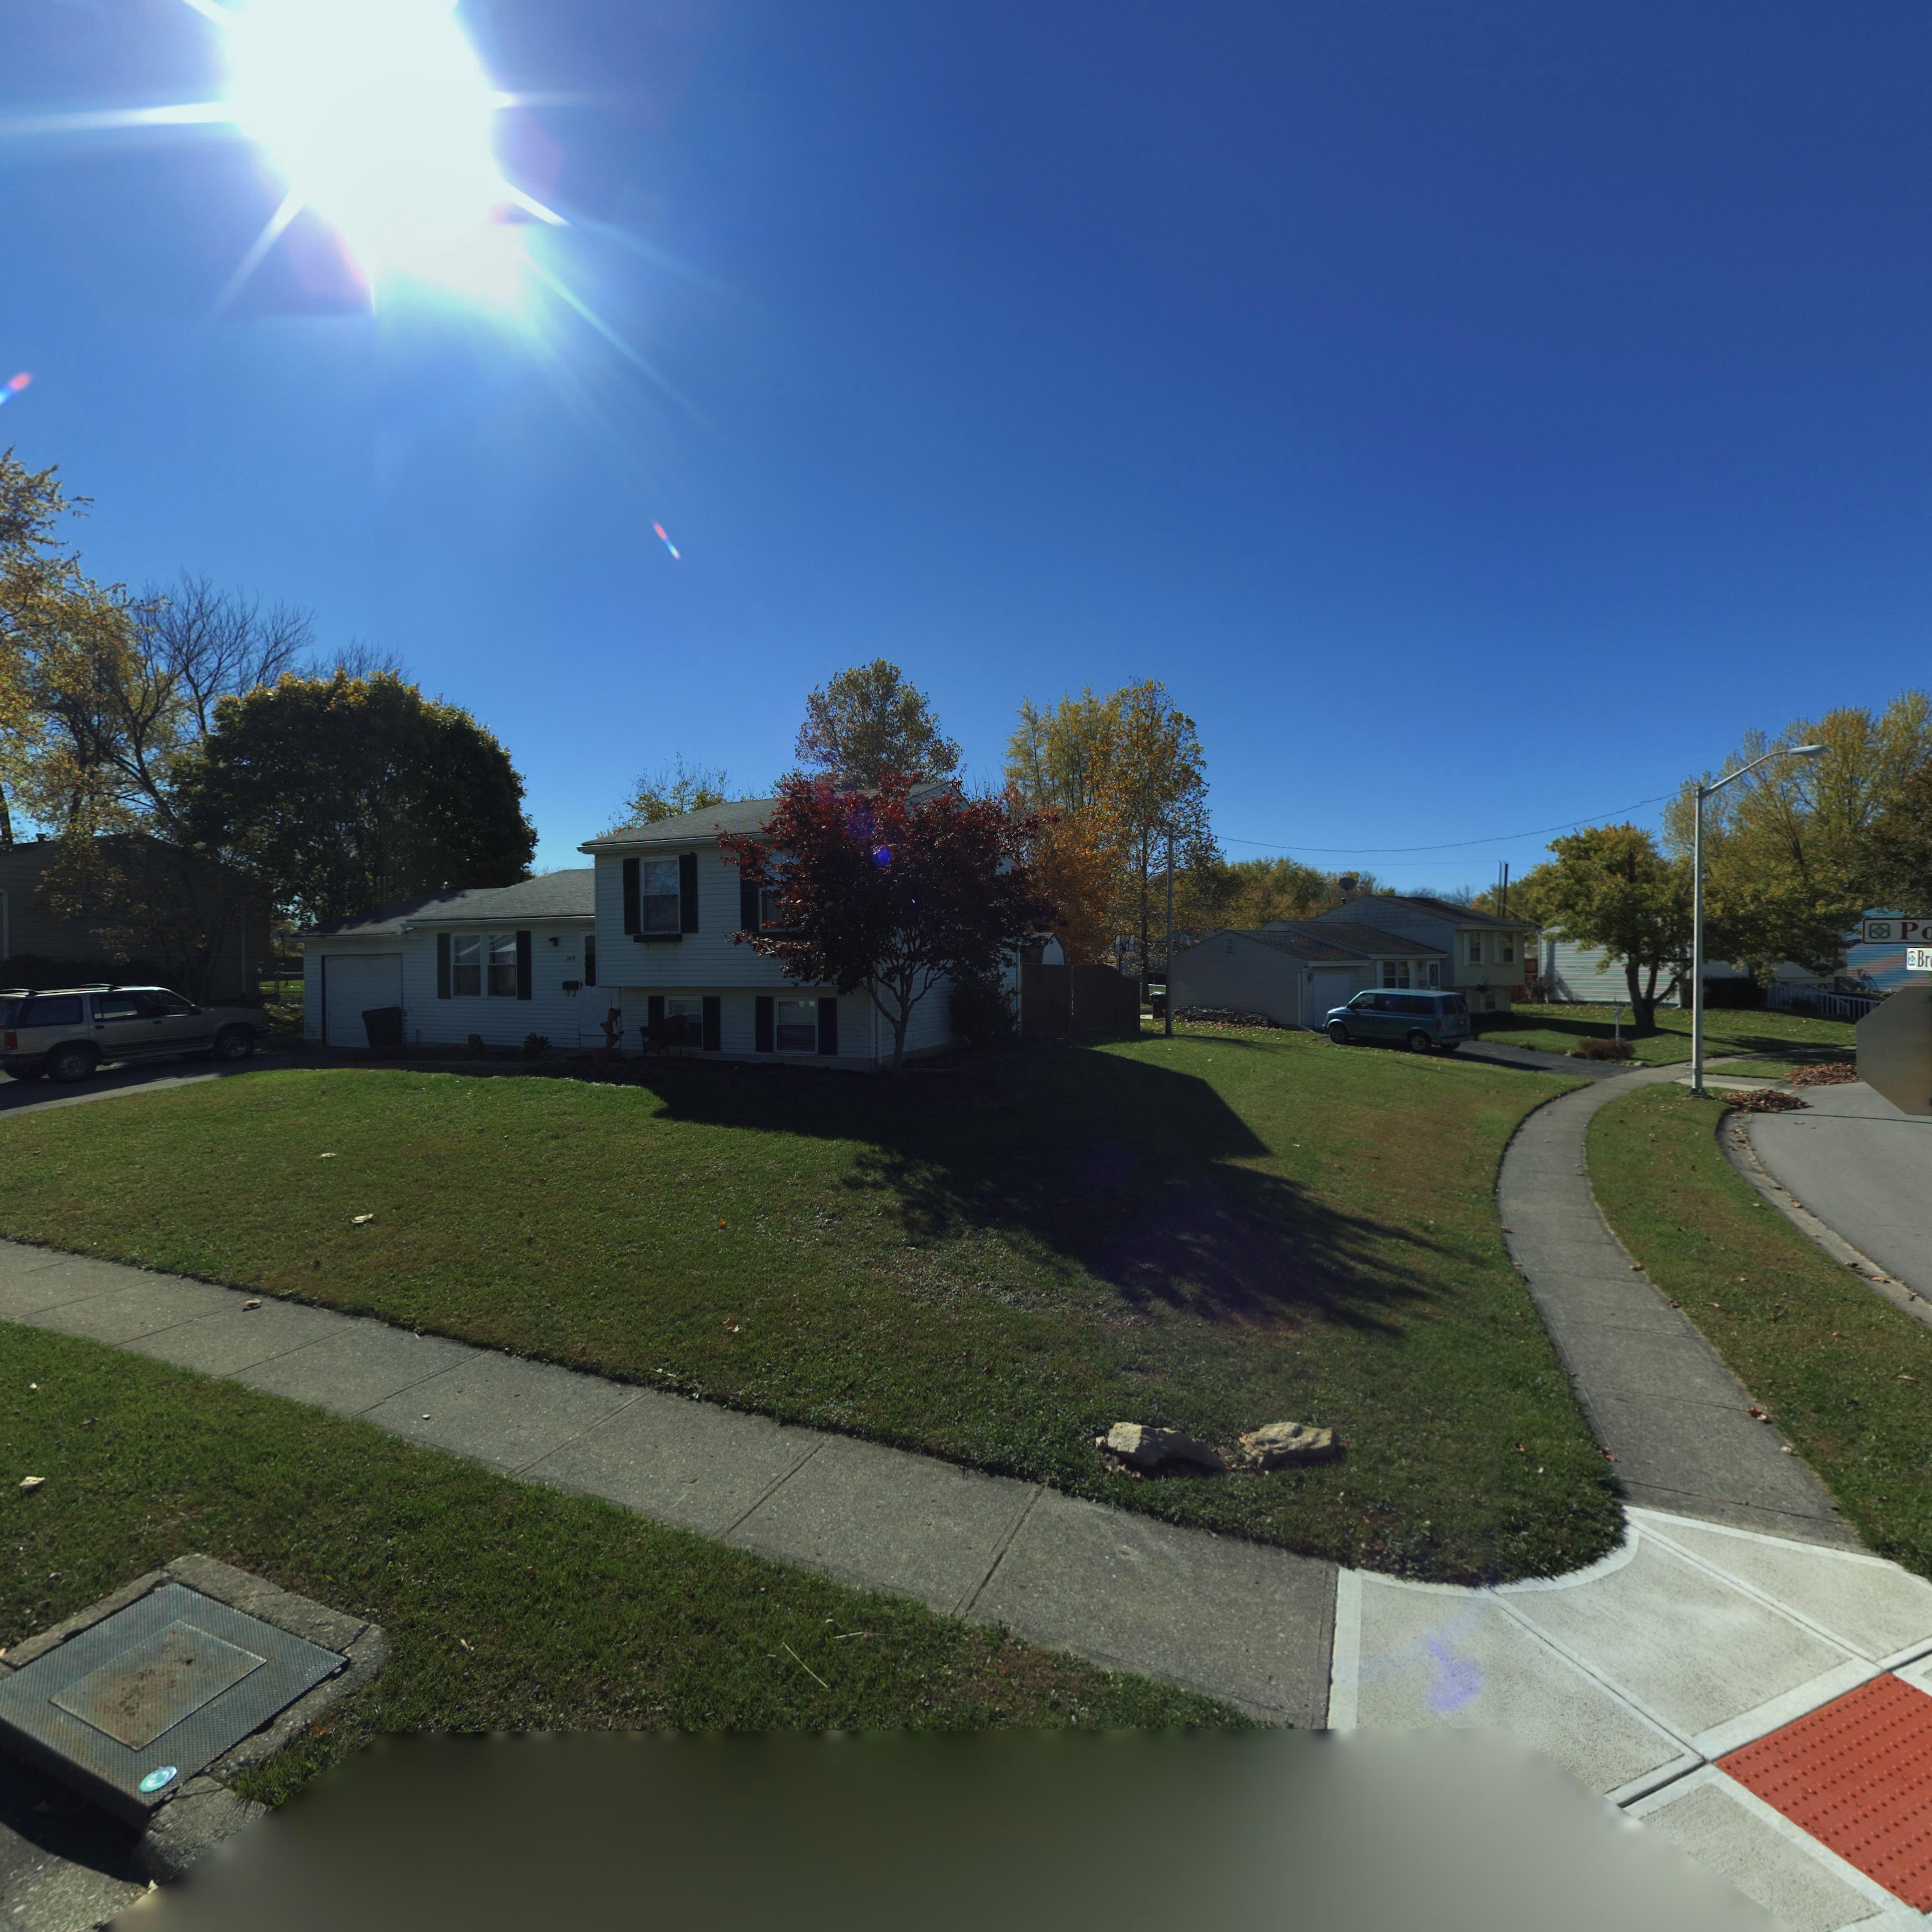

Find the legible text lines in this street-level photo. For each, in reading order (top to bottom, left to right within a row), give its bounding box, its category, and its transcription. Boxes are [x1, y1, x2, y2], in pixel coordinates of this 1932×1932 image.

[566, 955, 576, 962] StreetNumber: 249